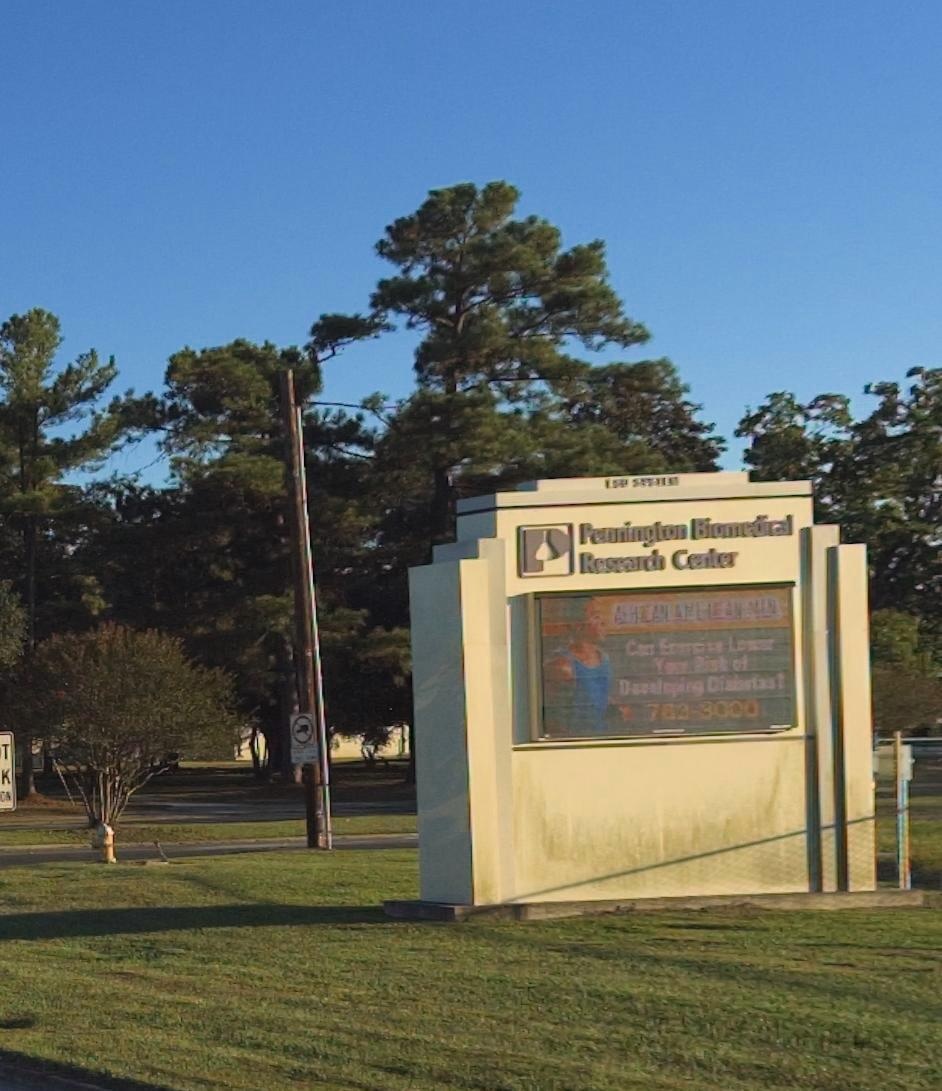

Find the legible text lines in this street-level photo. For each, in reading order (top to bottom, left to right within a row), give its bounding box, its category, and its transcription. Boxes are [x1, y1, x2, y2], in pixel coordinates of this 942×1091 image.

[578, 513, 794, 547] BusinessName: Pennington Biomedical
[578, 546, 740, 575] BusinessName: Research Center
[625, 633, 778, 658] None: Can E***c*** Lo**r
[651, 653, 752, 676] None: Y*** Risk of
[617, 670, 790, 699] None: D***l*pi*g Dia**t*s?
[644, 697, 762, 725] None: 763-3000
[1, 743, 10, 760] None: T
[1, 768, 12, 785] None: K